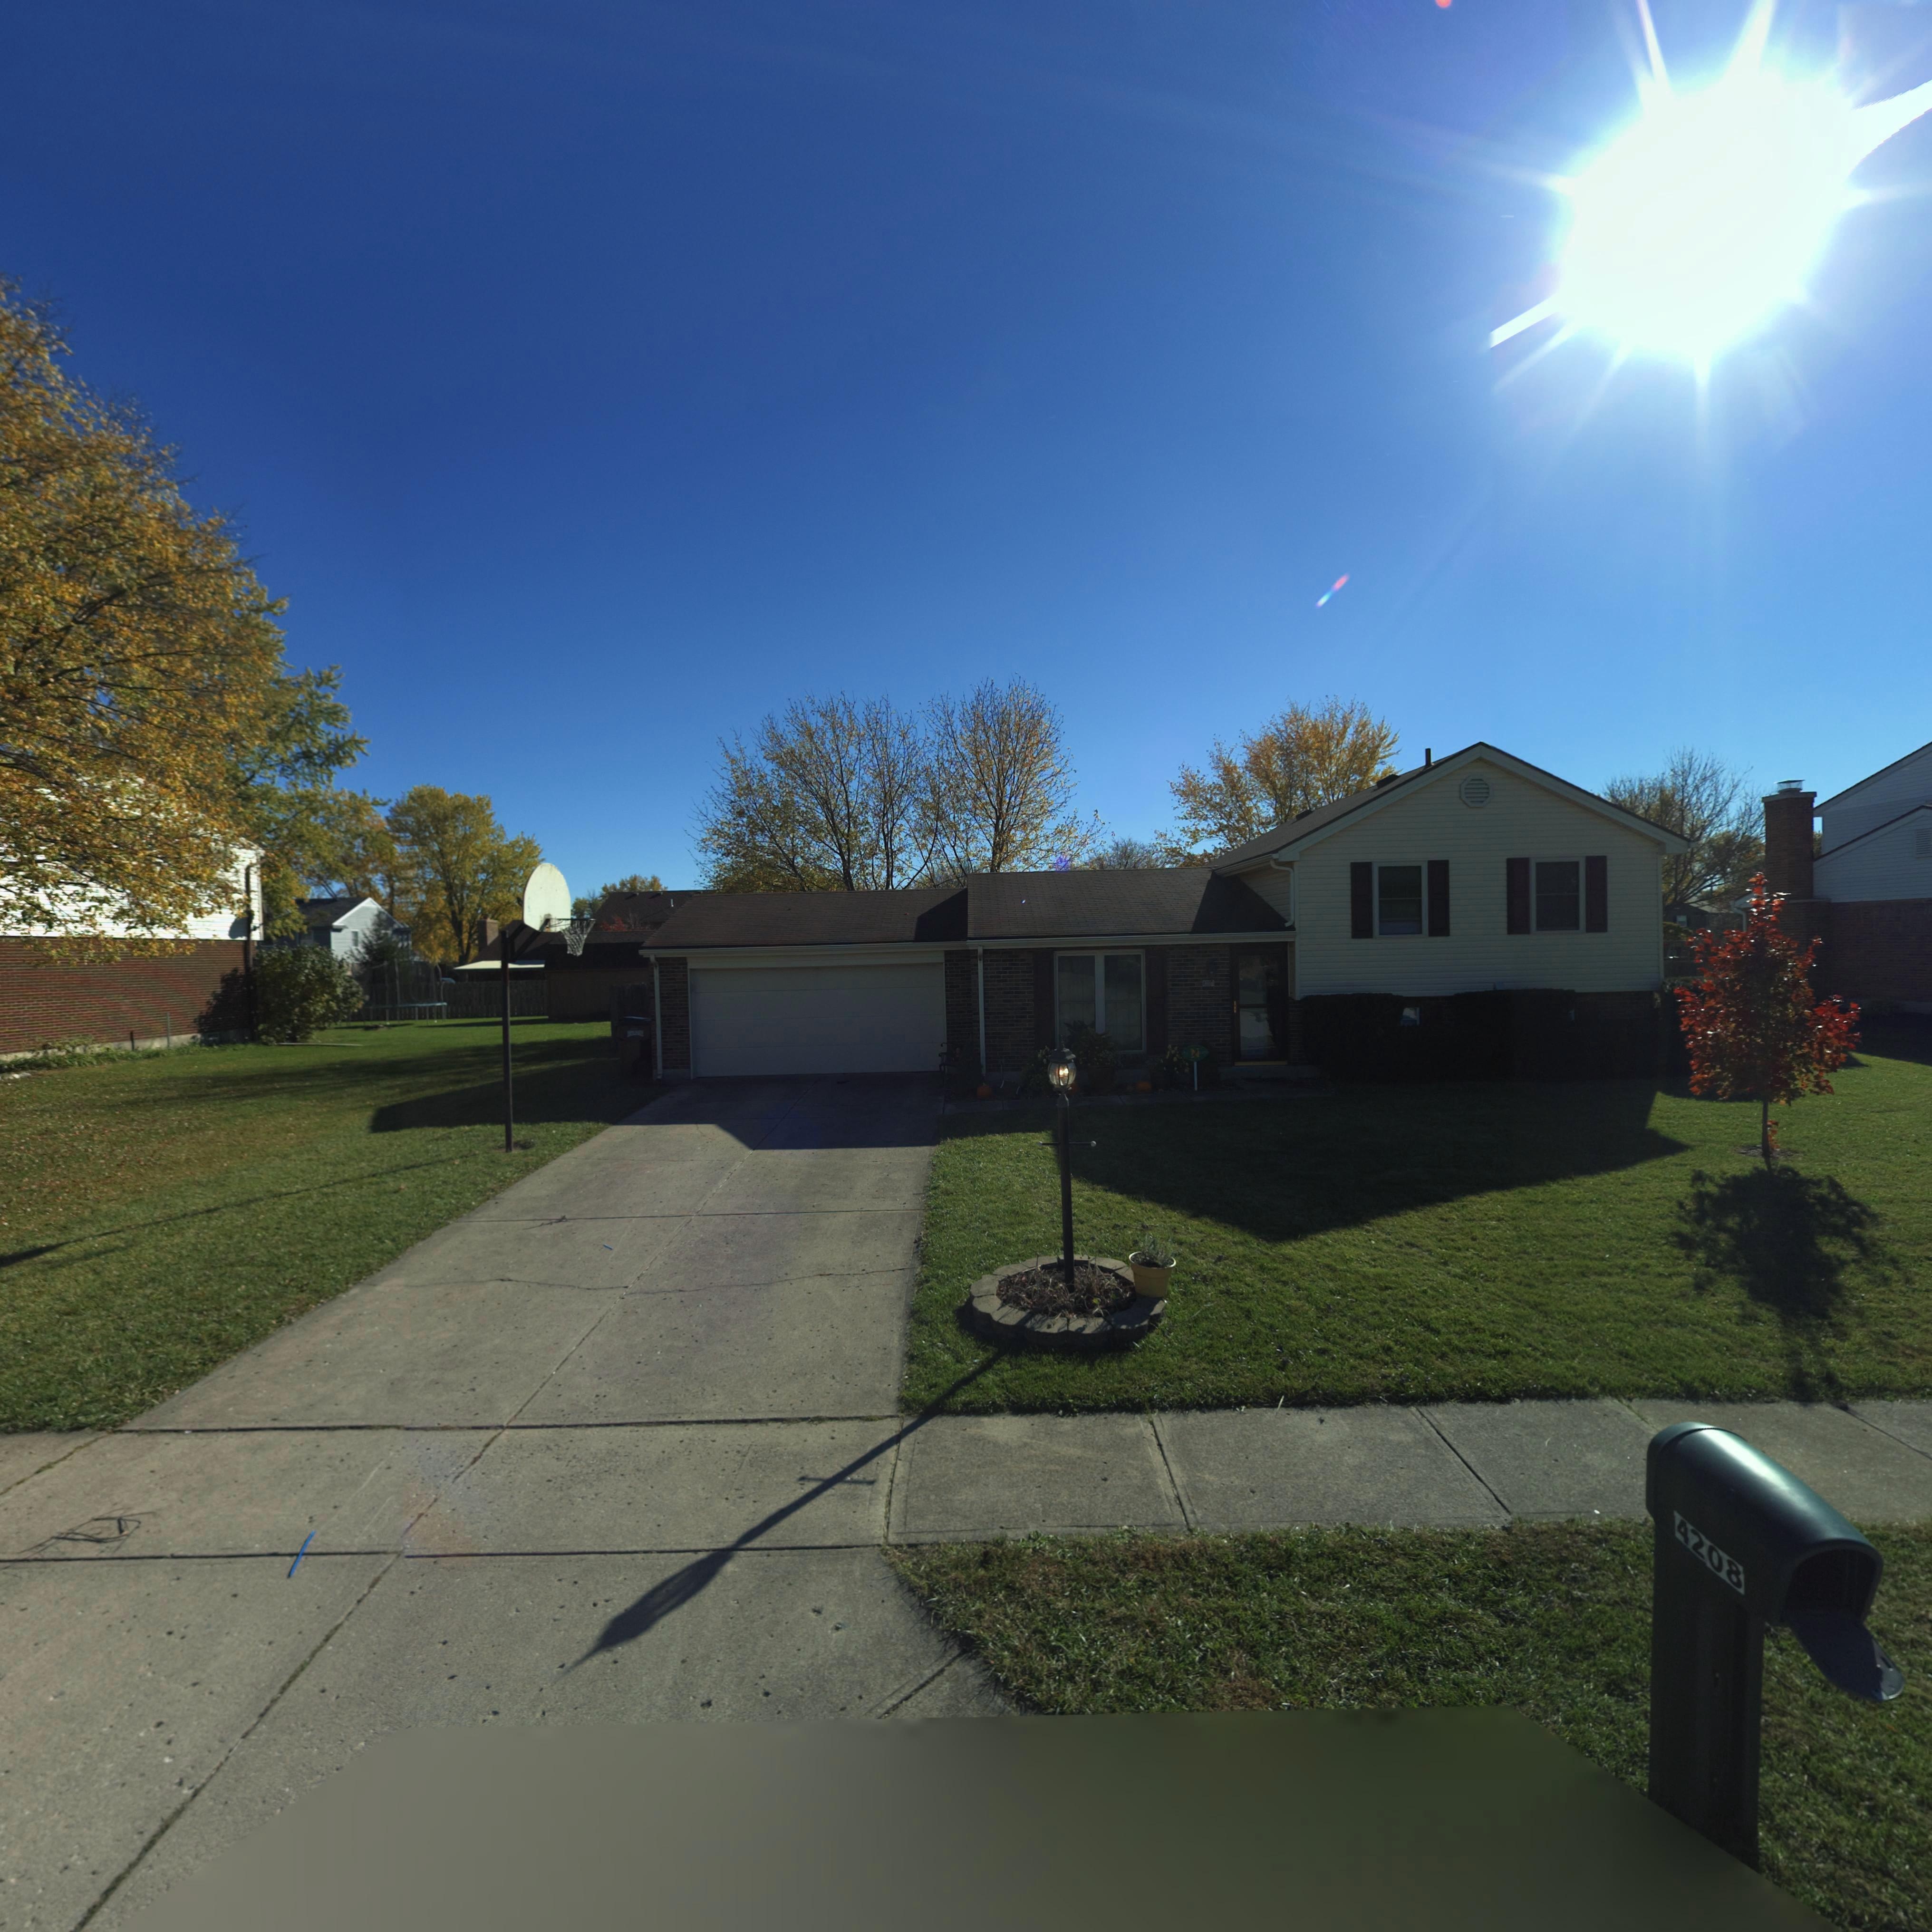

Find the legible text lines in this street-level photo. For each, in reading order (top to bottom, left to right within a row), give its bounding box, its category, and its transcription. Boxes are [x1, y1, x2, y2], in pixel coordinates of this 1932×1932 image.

[1673, 1515, 1743, 1592] StreetNumber: 4208